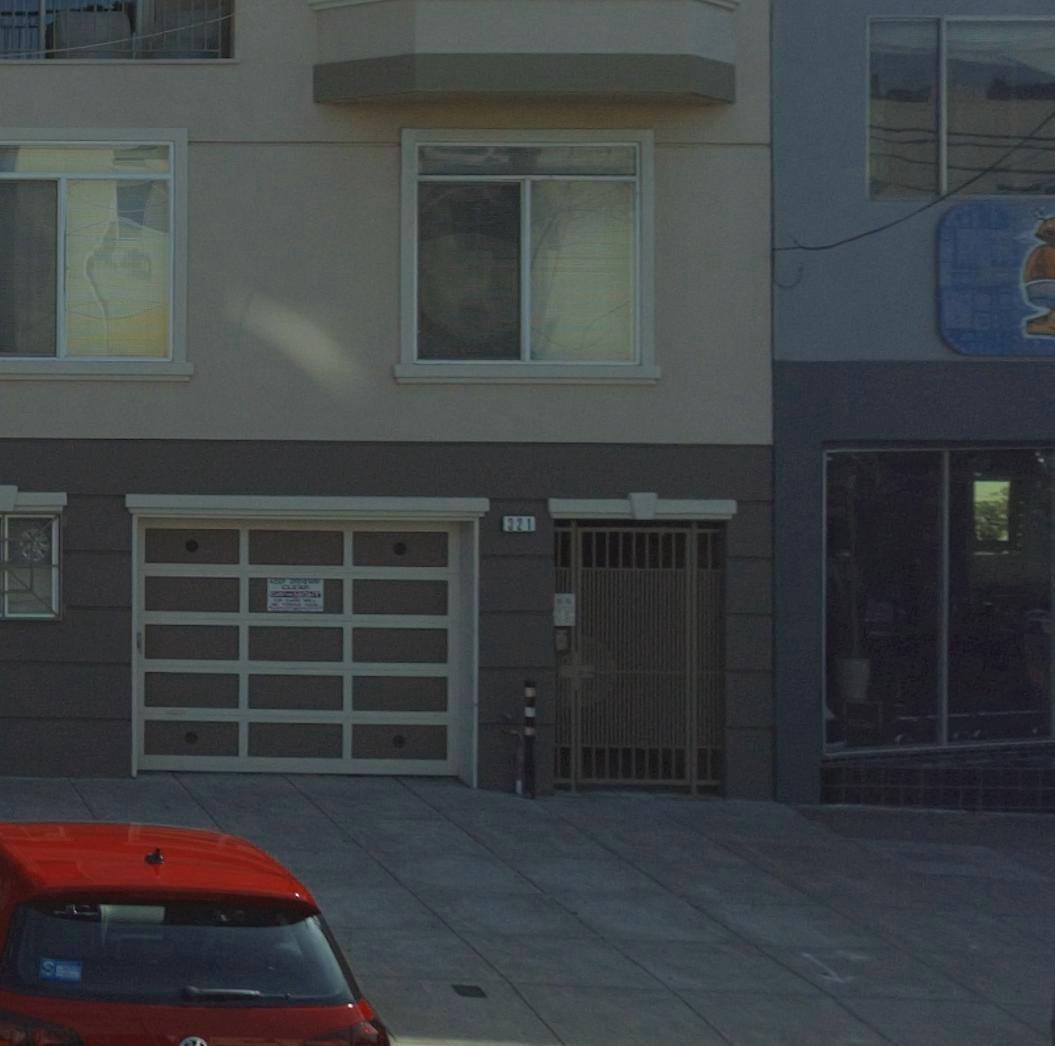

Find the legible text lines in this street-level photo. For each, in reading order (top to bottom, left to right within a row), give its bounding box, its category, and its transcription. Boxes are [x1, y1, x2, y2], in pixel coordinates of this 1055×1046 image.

[506, 516, 532, 532] StreetNumber: 321